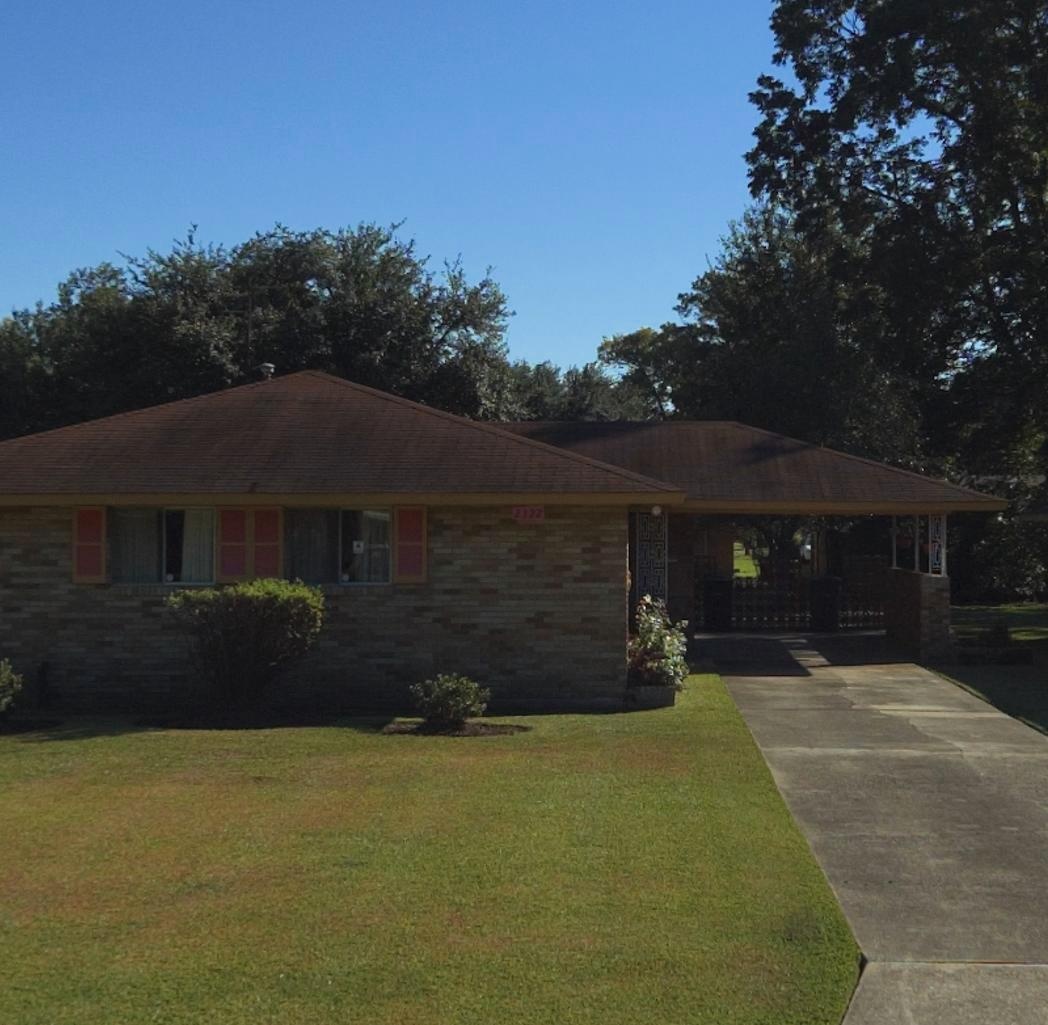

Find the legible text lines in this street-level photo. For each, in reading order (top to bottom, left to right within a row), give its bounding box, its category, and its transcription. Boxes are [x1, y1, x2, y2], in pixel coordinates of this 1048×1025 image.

[515, 507, 544, 520] StreetNumber: 2322